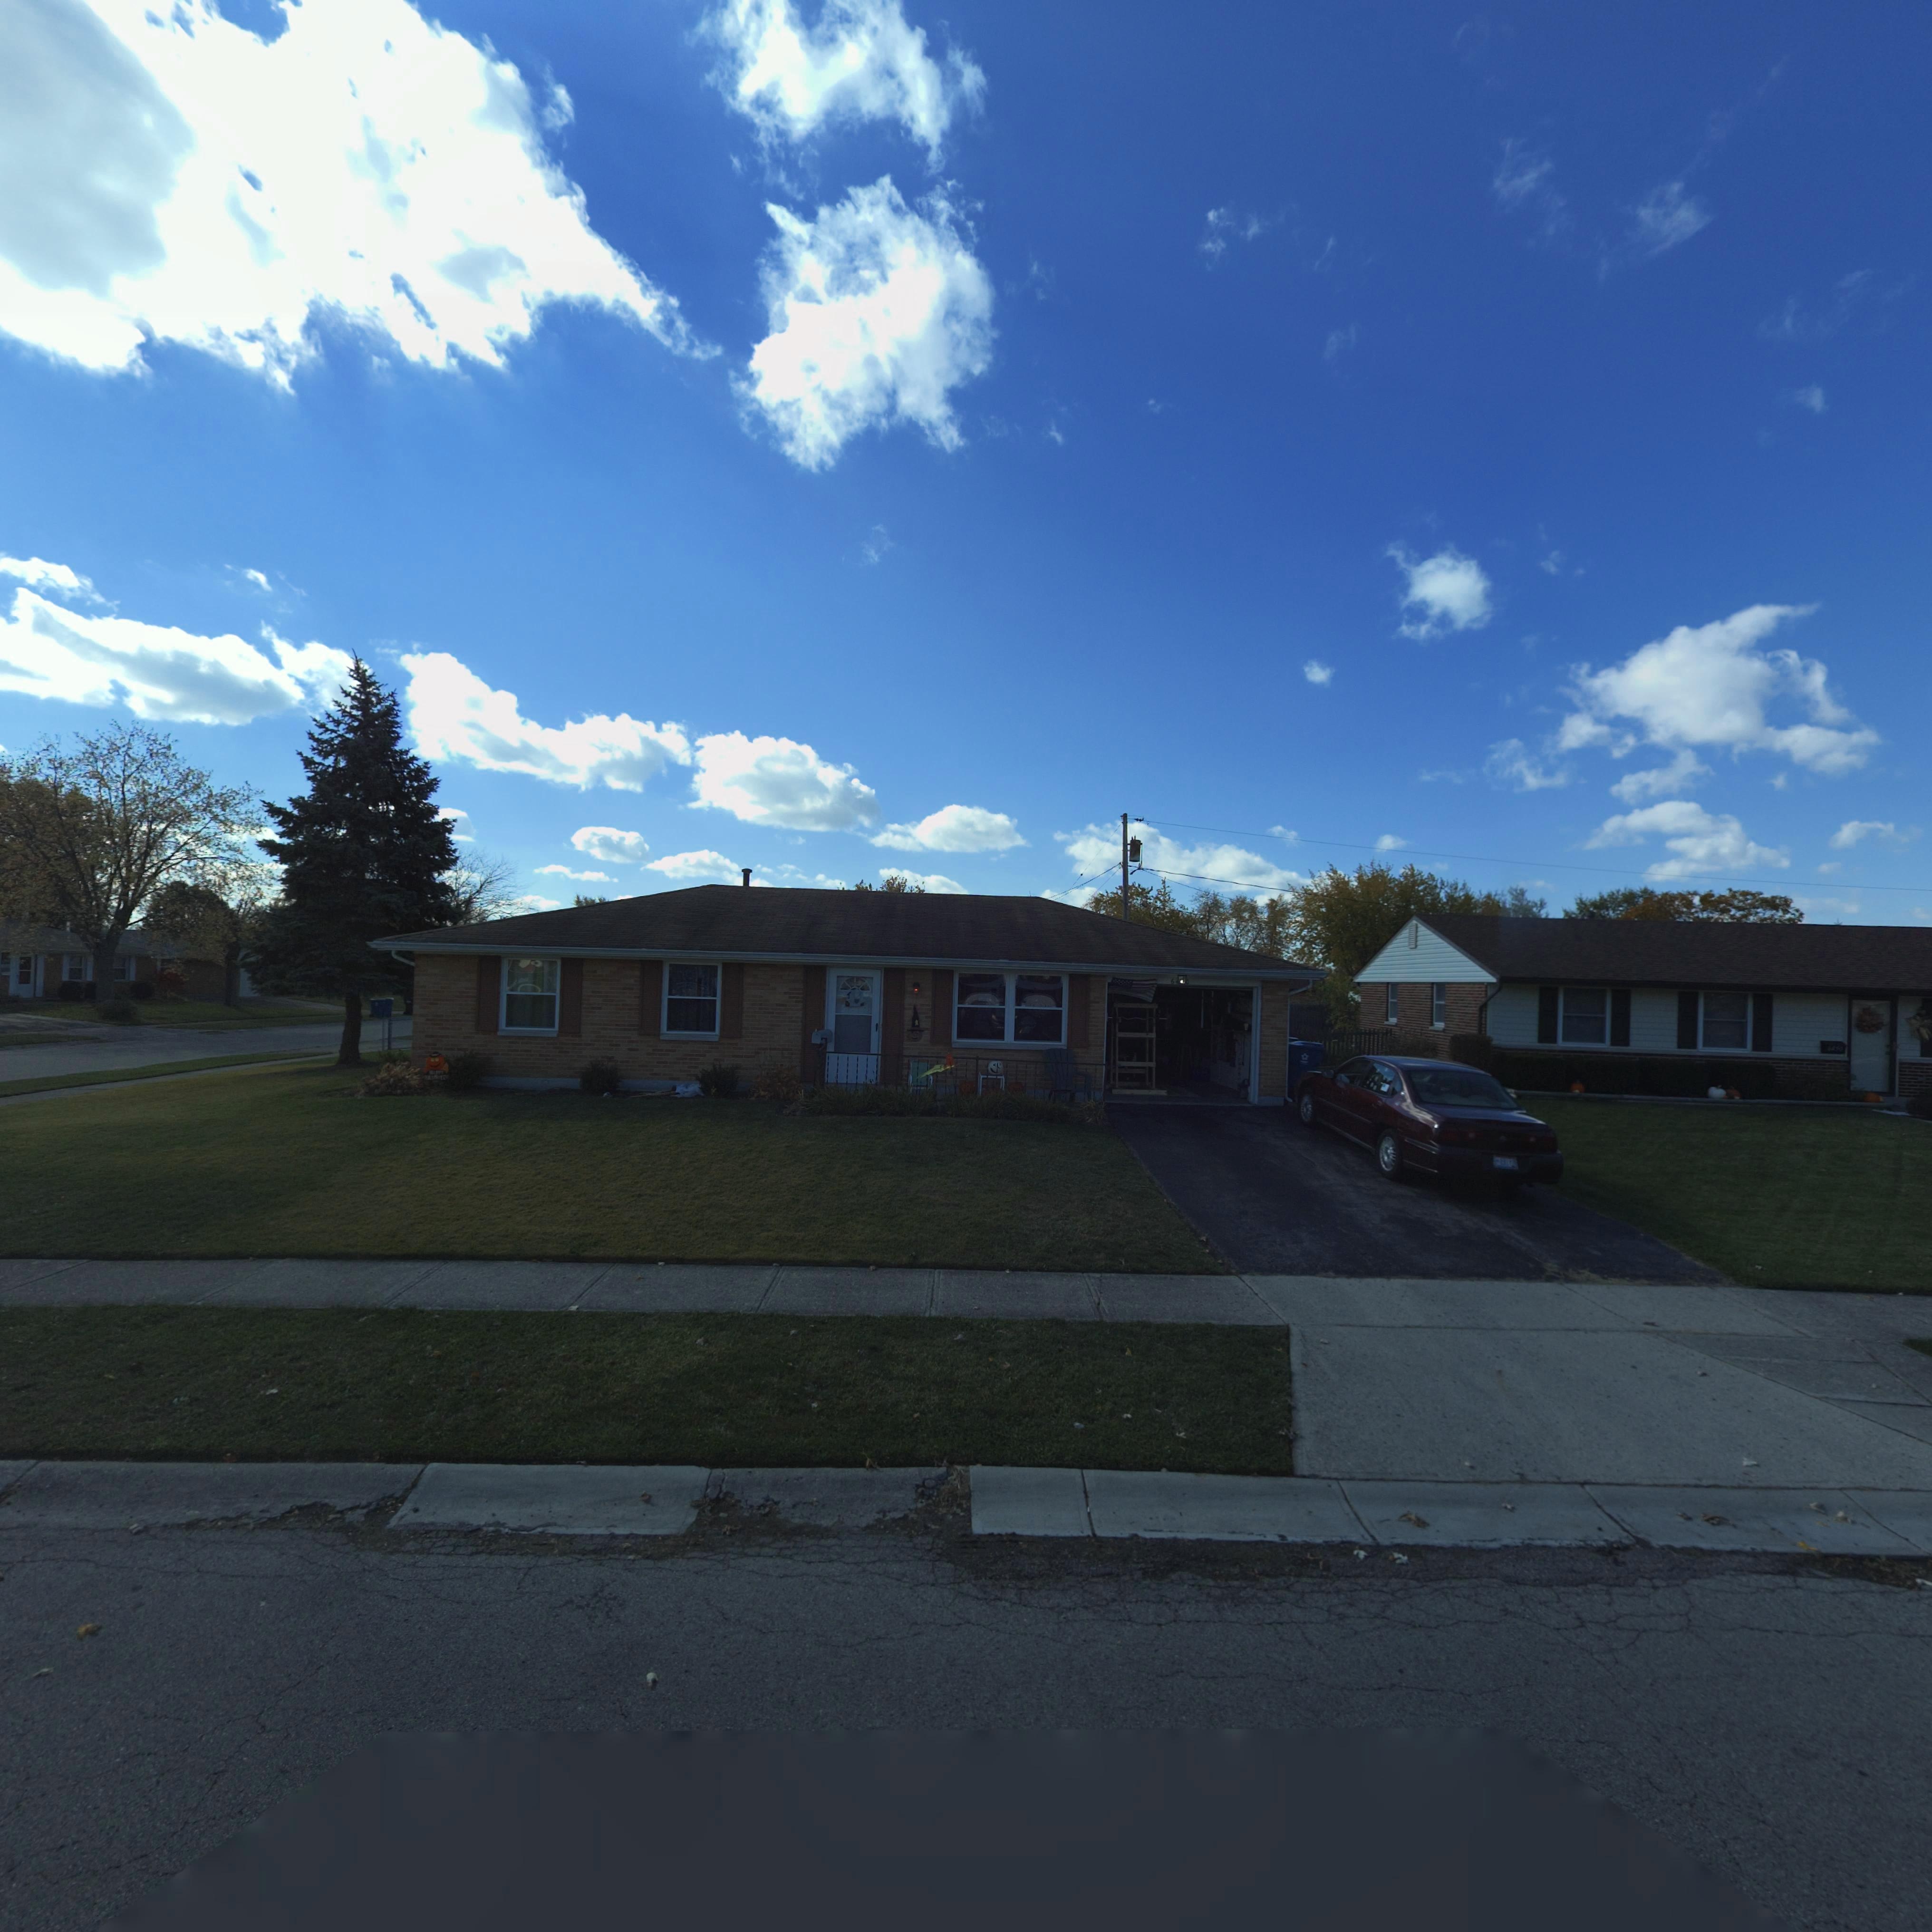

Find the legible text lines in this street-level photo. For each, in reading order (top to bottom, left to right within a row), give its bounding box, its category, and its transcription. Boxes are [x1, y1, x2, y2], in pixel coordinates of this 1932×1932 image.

[1170, 978, 1189, 985] StreetNumber: 6**0
[1826, 1045, 1844, 1053] StreetNumber: 6450